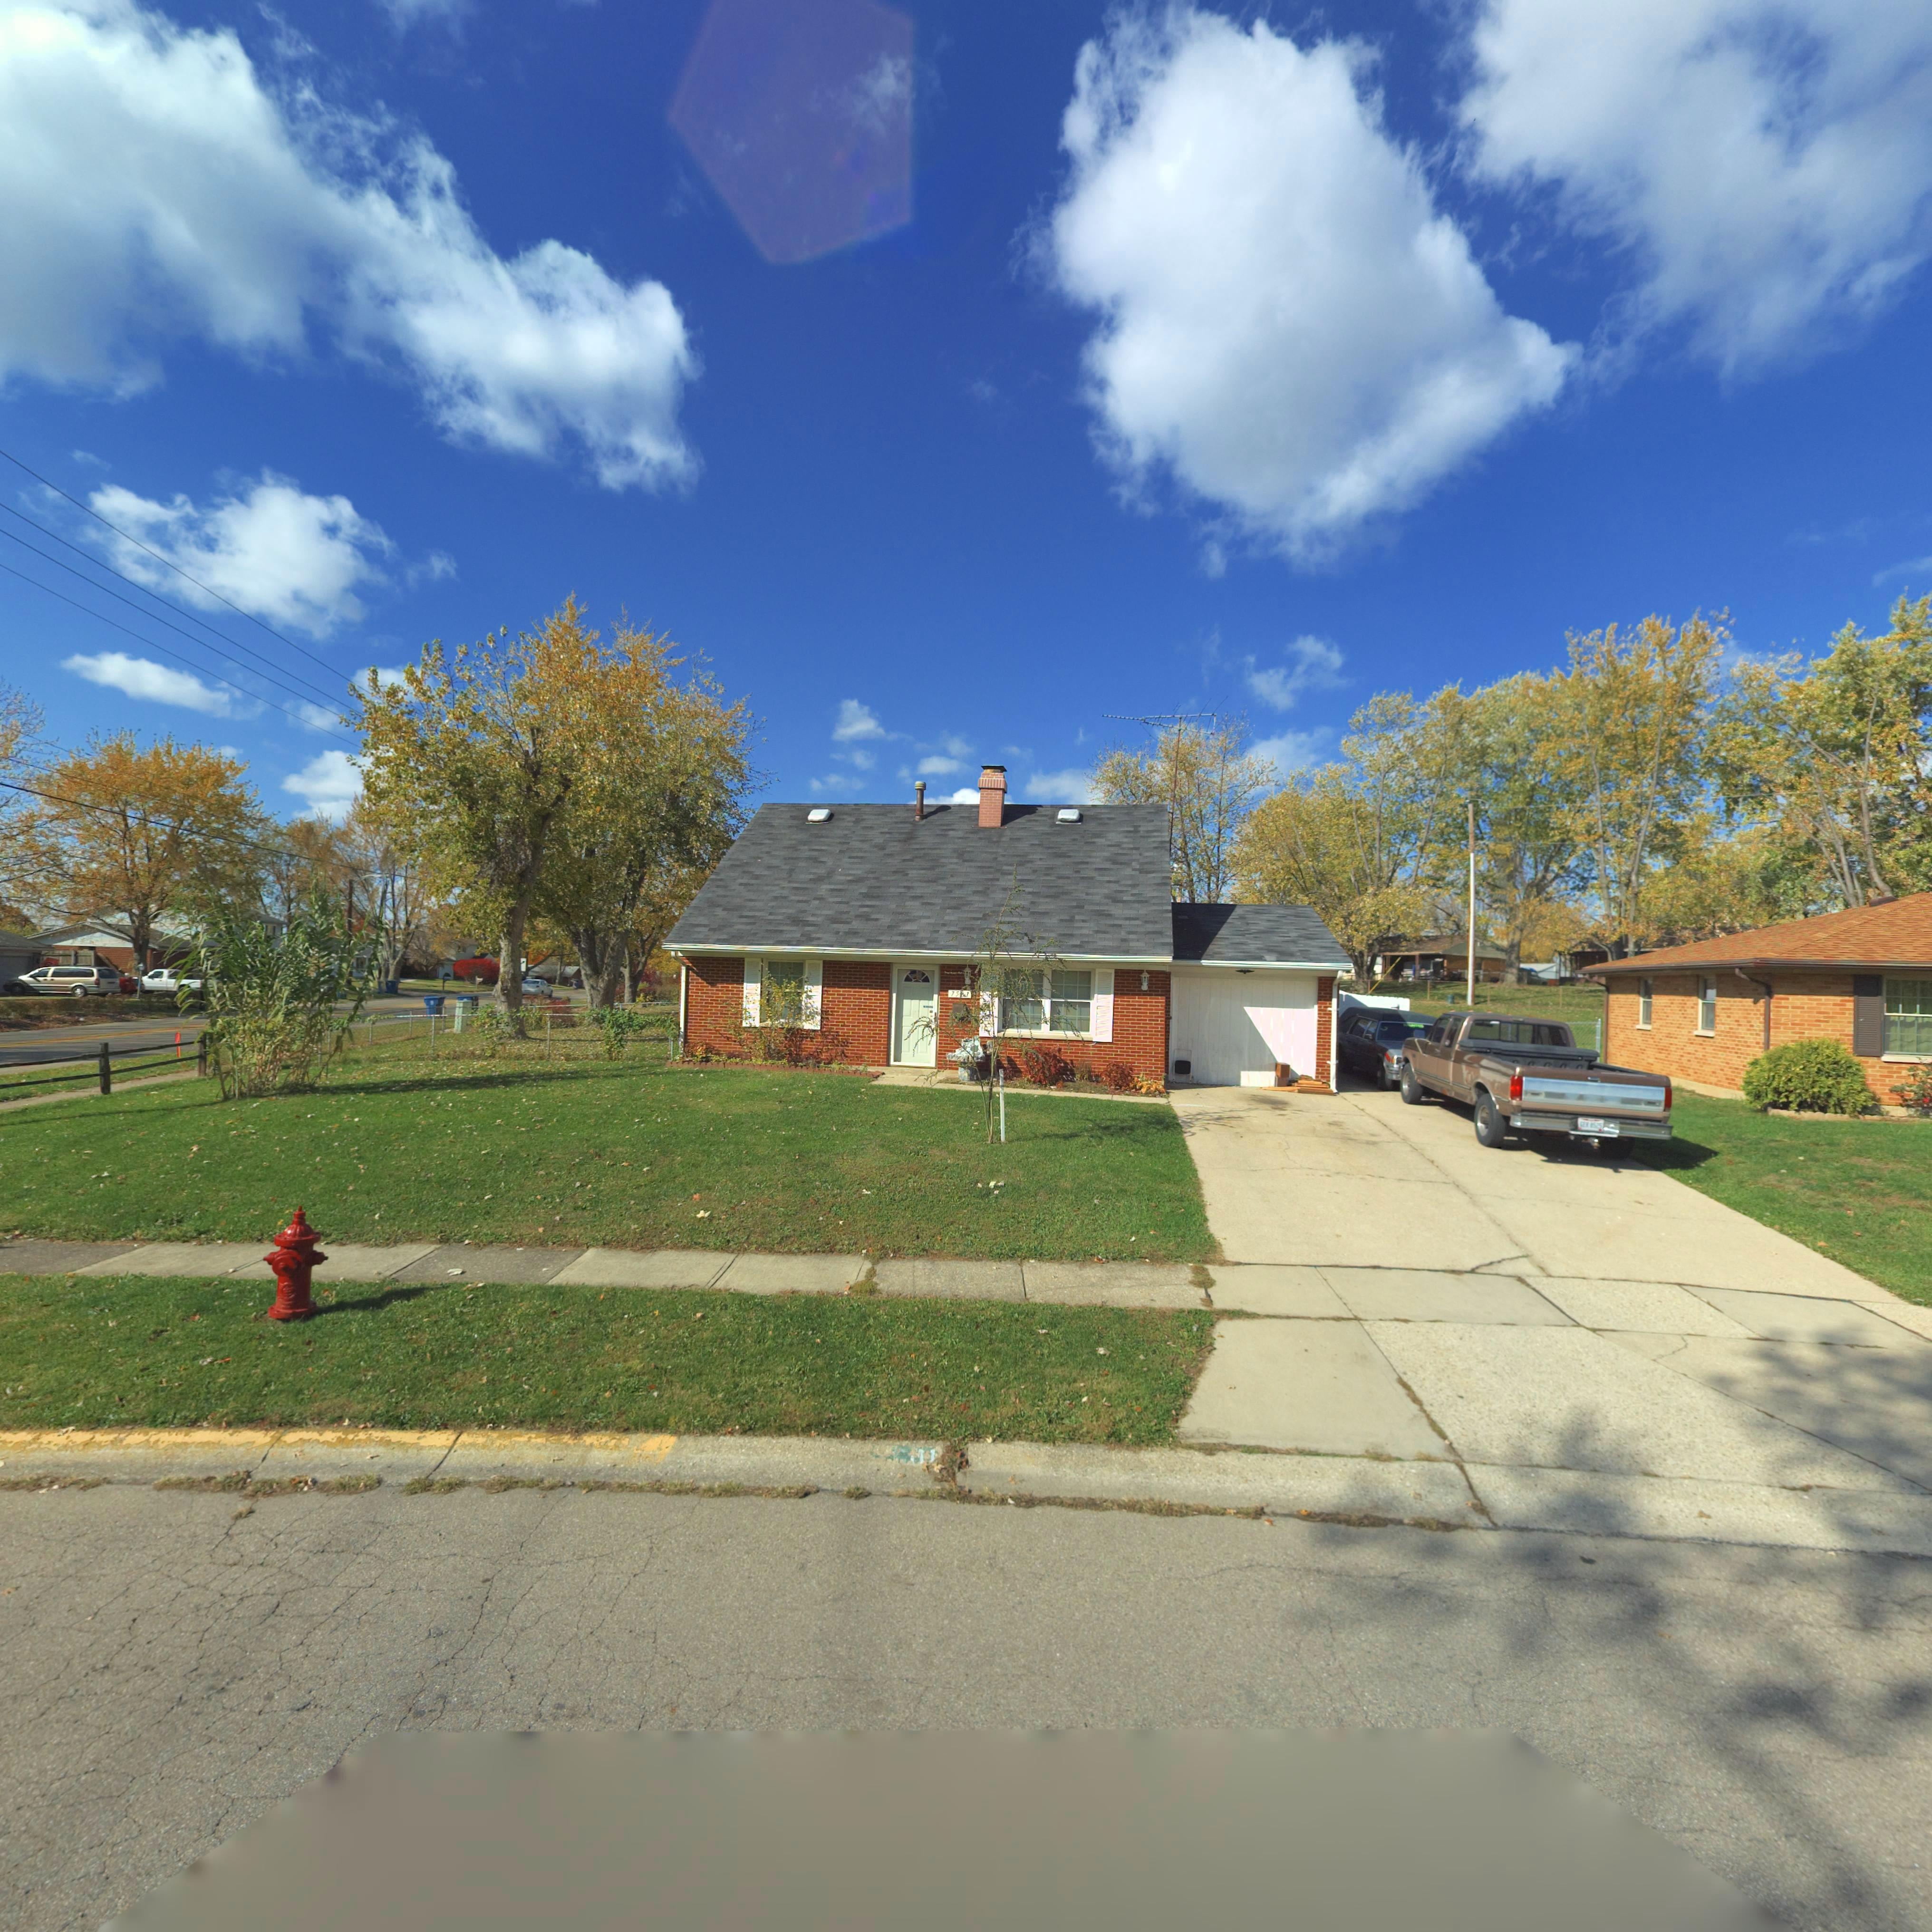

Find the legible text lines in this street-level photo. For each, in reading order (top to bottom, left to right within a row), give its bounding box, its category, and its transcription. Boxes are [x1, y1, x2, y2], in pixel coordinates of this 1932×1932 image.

[950, 991, 969, 998] StreetNumber: 75*7